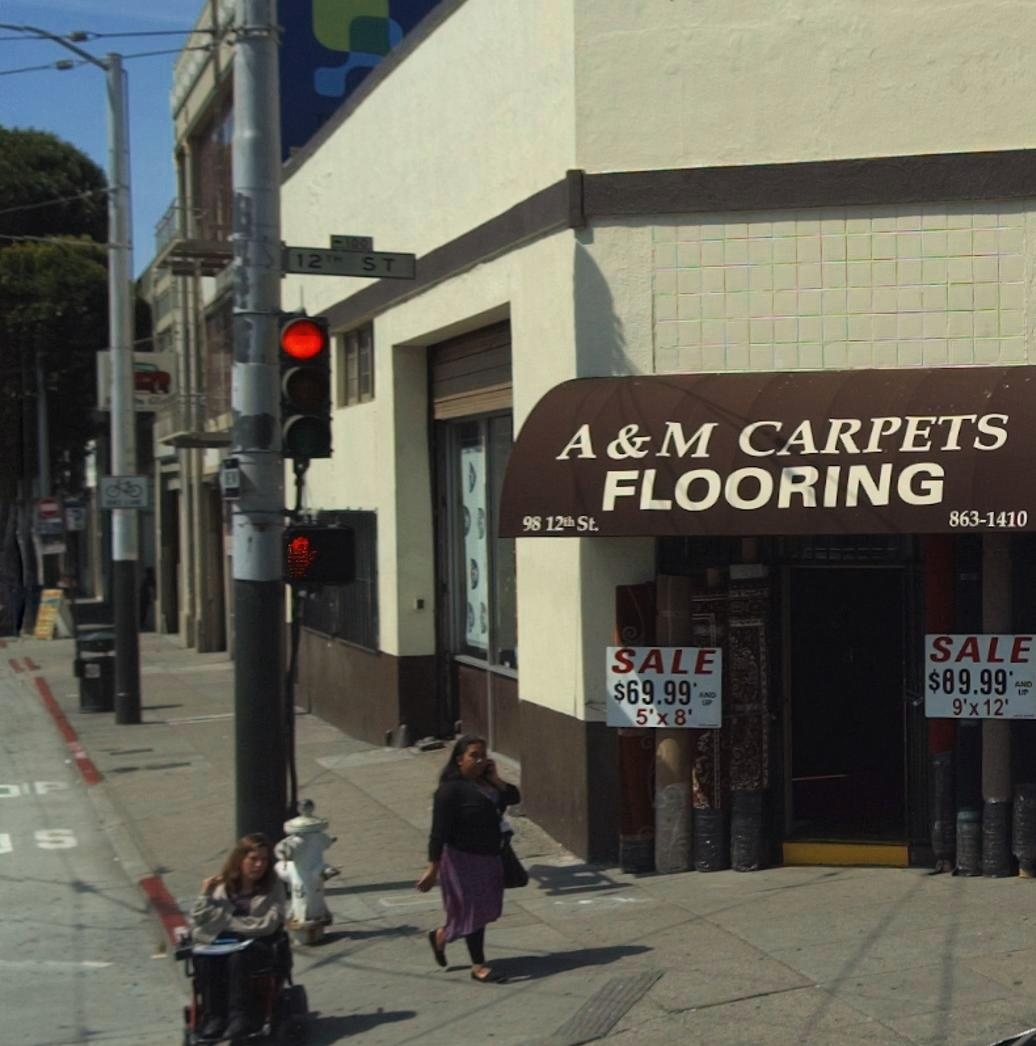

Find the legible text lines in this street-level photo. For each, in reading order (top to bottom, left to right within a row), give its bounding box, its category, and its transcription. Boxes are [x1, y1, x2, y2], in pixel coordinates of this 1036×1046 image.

[331, 236, 372, 249] StreetNumberRange: <-100
[294, 252, 396, 273] StreetName: 12TH ST
[552, 413, 1012, 461] BusinessName: A&M CARPETS
[599, 460, 948, 512] BusinessName: FLOORING
[522, 514, 542, 533] StreetNumber: 98
[545, 515, 600, 532] StreetName: 12th St.
[947, 507, 1028, 529] None: 863-1410
[929, 635, 1034, 664] None: SALE
[609, 648, 718, 676] None: SALE
[612, 679, 693, 707] None: $69.99
[927, 666, 1008, 696] None: $09.99
[1014, 680, 1033, 688] None: AND
[1018, 688, 1029, 696] None: UP
[952, 696, 1010, 716] None: 9'x12'
[635, 707, 695, 727] None: 5'x8'
[34, 778, 71, 796] None: P
[30, 822, 84, 854] None: S